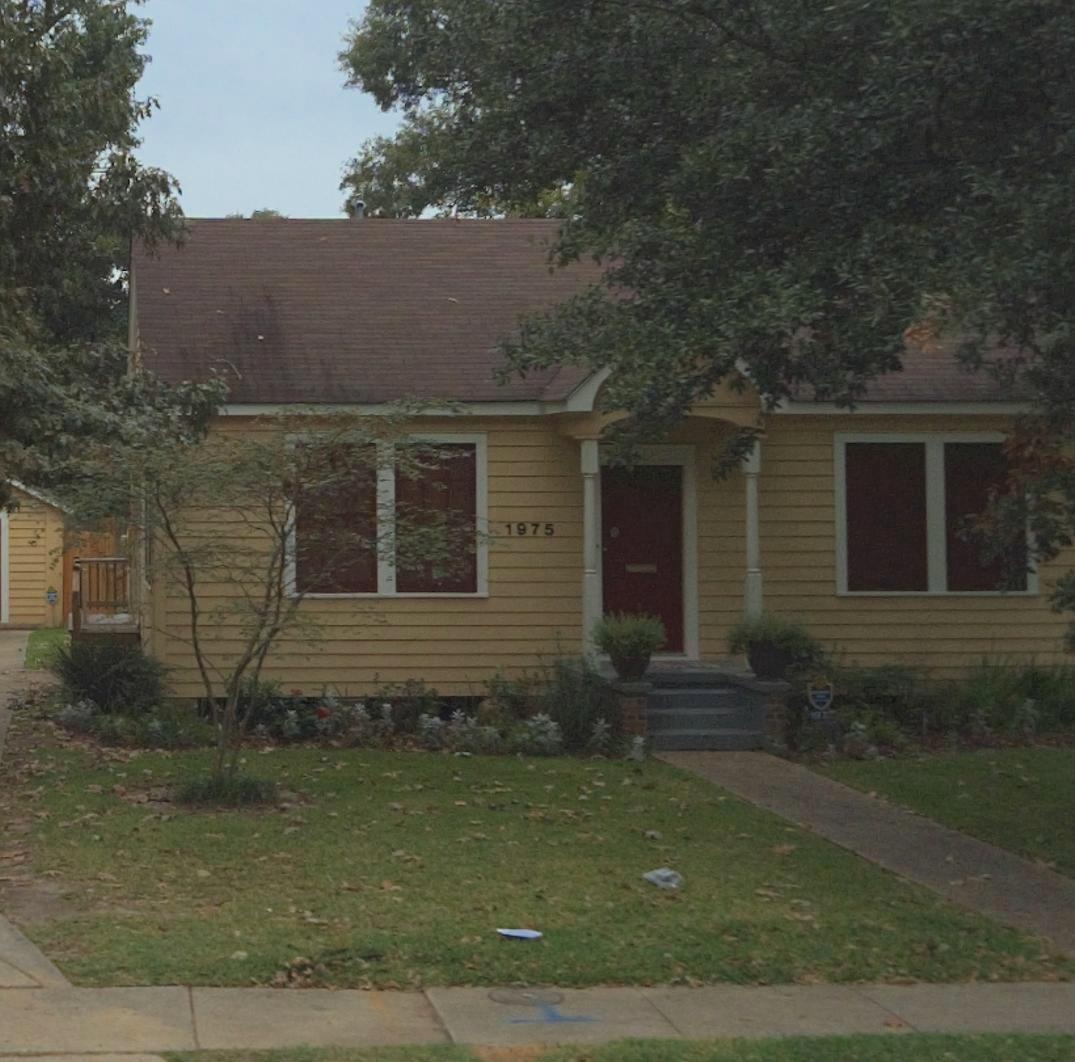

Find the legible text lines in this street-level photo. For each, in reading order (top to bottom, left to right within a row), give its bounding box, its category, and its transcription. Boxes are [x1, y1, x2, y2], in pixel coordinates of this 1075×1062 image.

[505, 522, 555, 536] StreetNumber: 1975